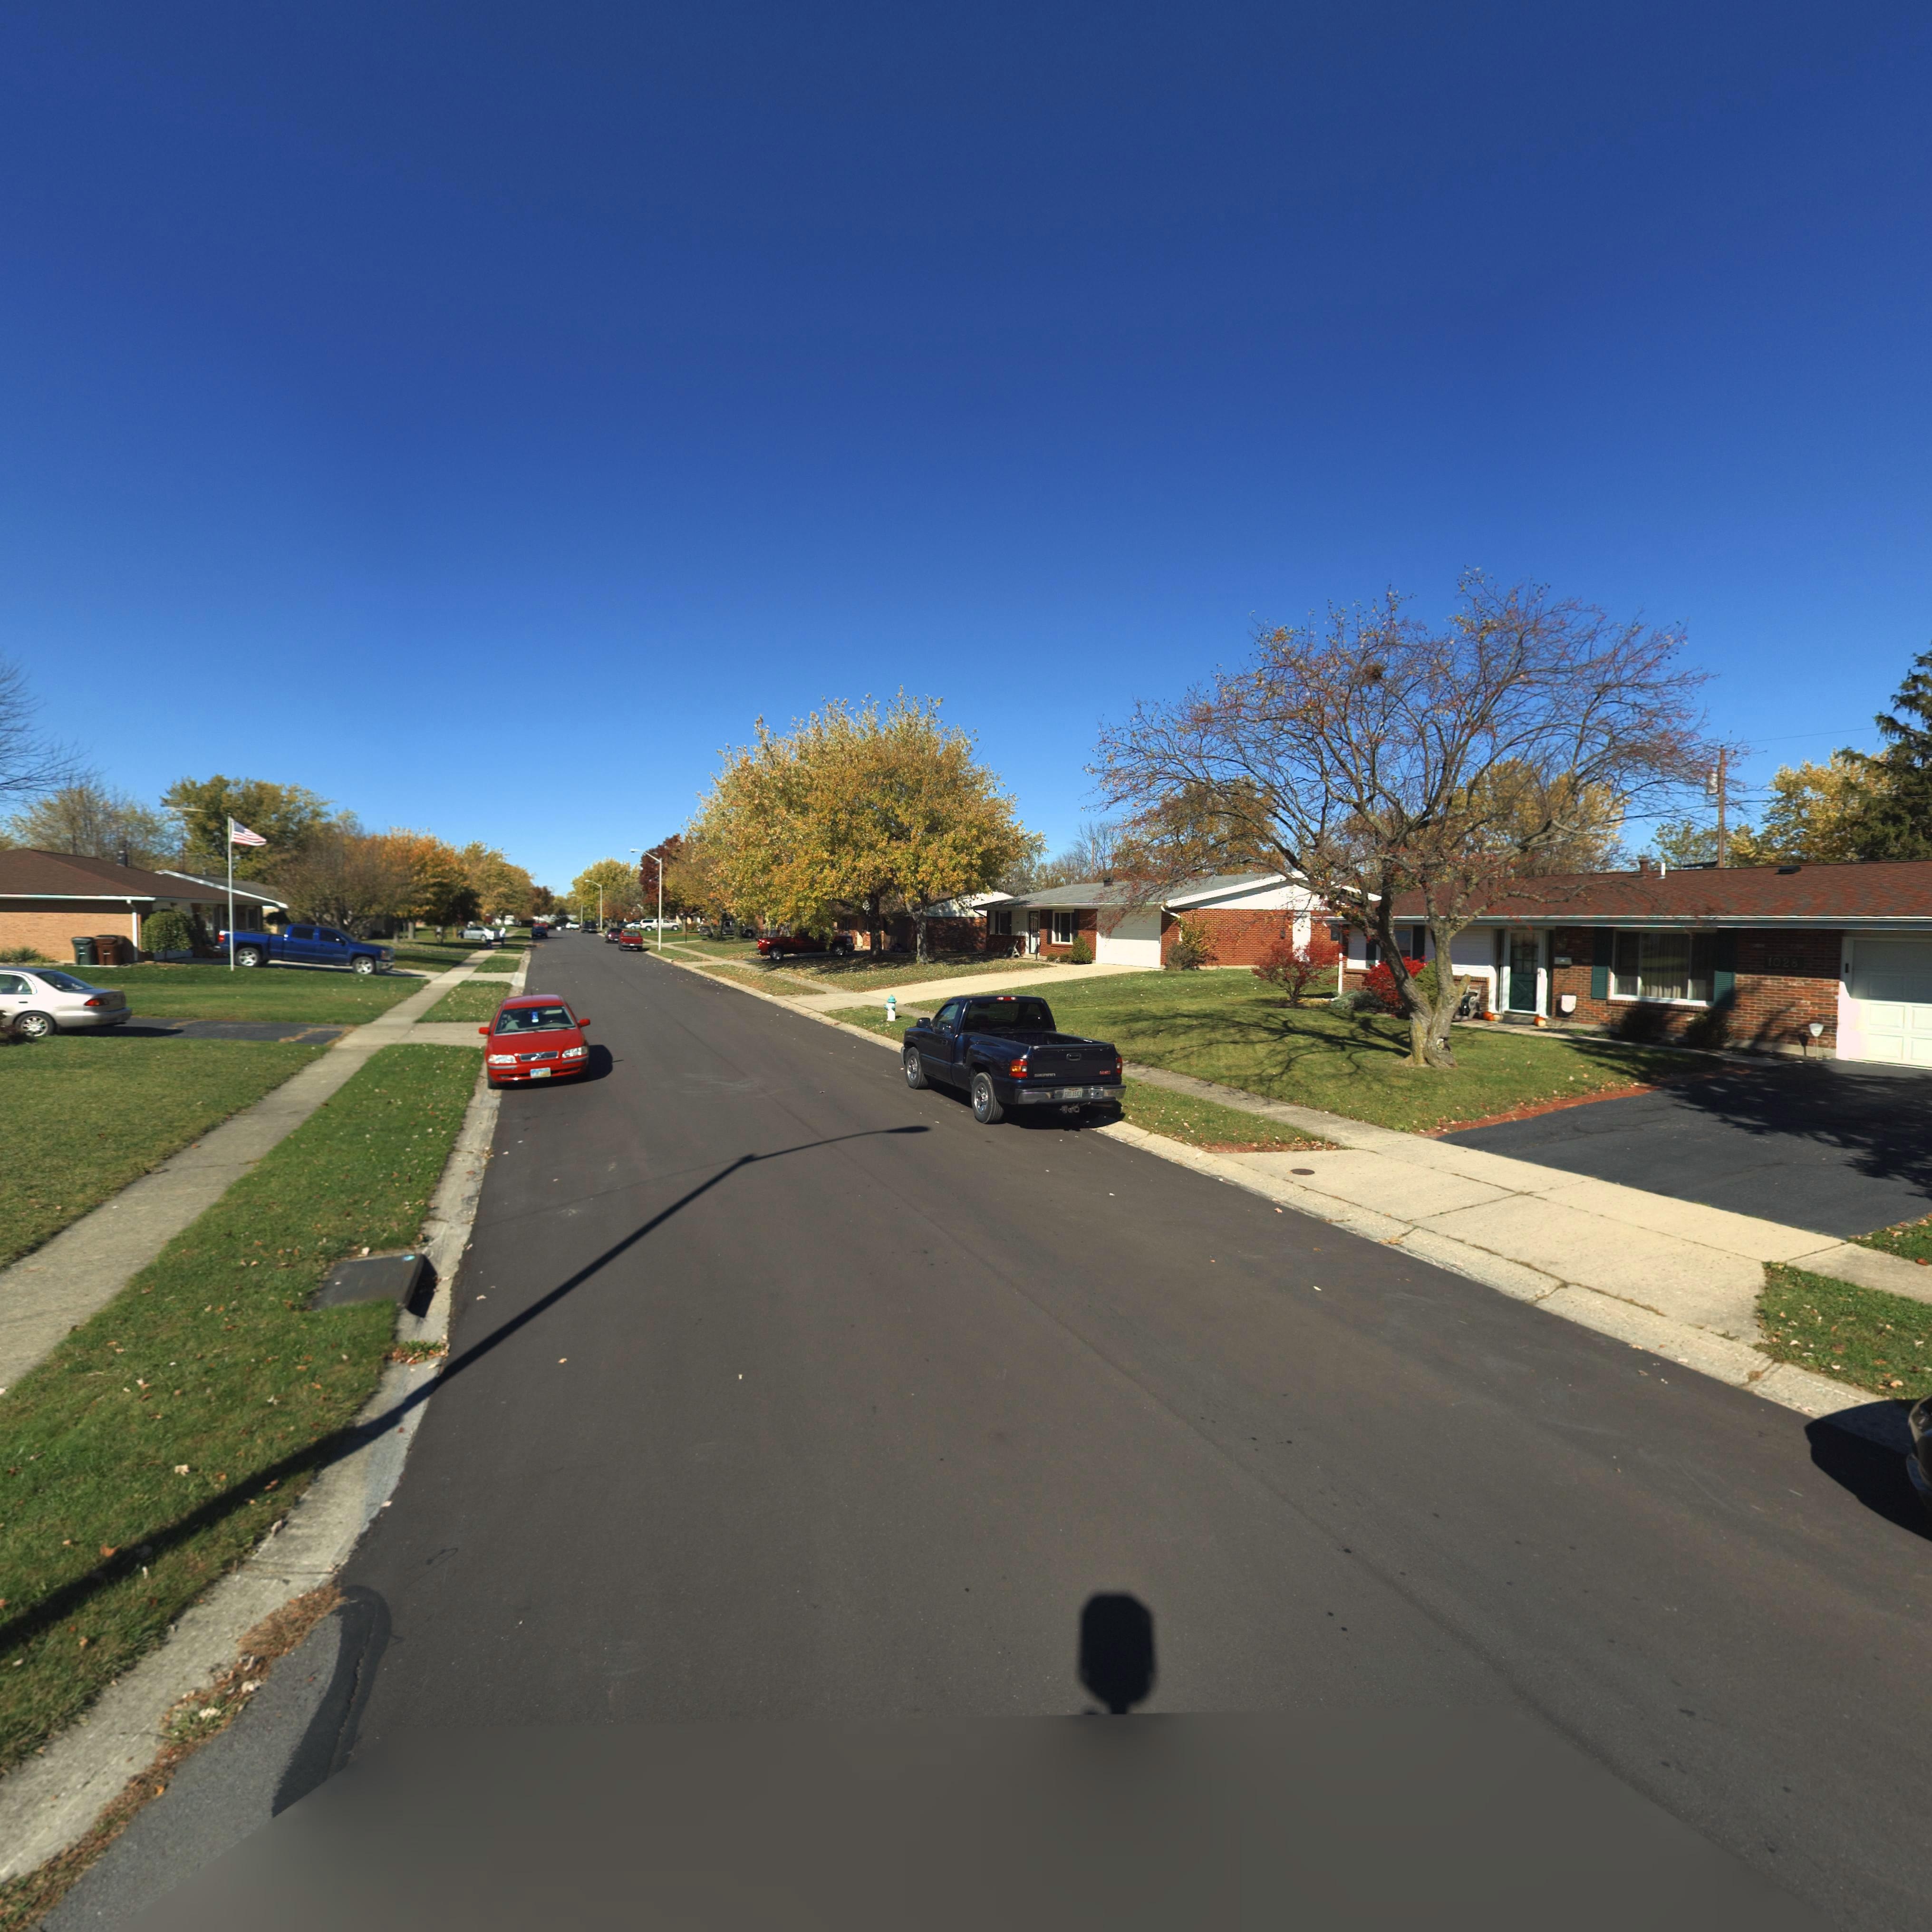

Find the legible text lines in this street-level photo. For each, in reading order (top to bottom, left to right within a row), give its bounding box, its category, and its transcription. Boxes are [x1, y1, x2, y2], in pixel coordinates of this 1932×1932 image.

[1768, 957, 1798, 968] StreetNumber: 1028